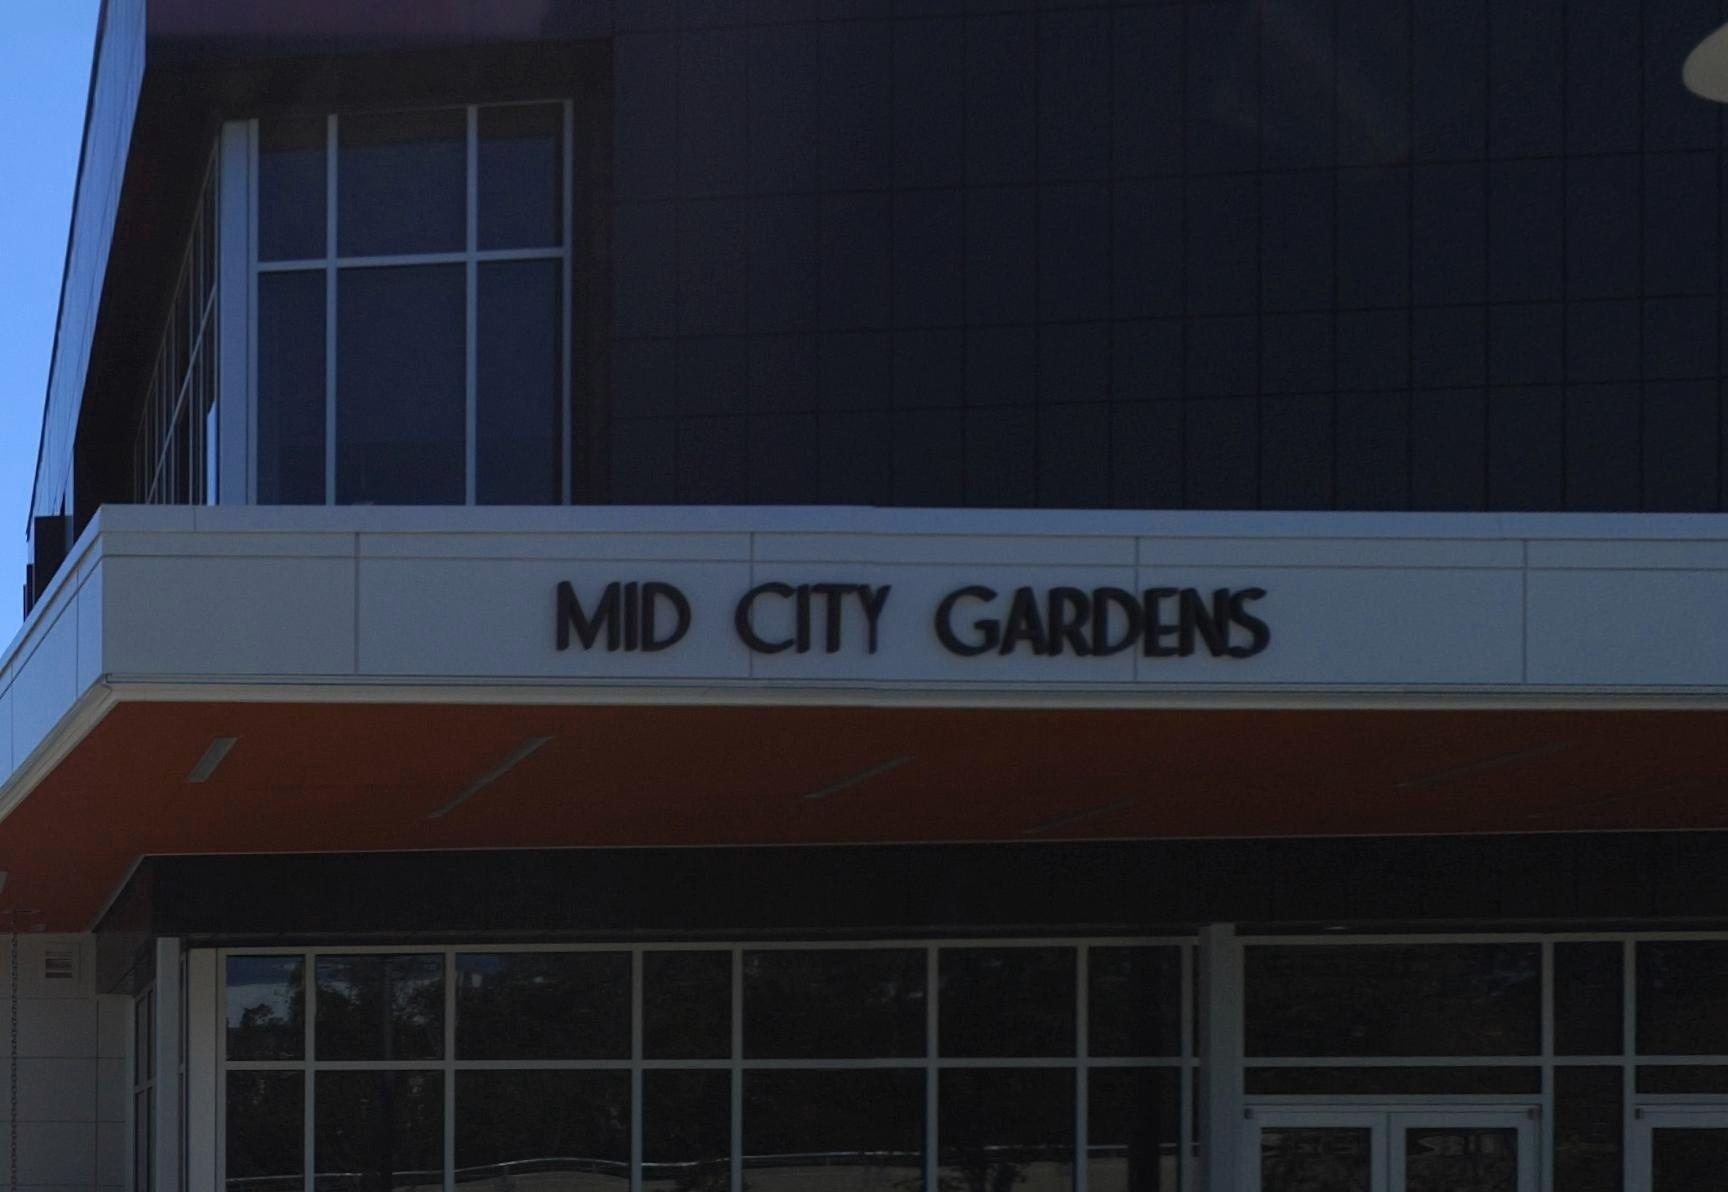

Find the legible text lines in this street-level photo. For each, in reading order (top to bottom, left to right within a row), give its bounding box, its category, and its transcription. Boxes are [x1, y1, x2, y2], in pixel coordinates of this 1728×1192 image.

[549, 575, 1276, 663] BusinessName: MID CITY GARDENS